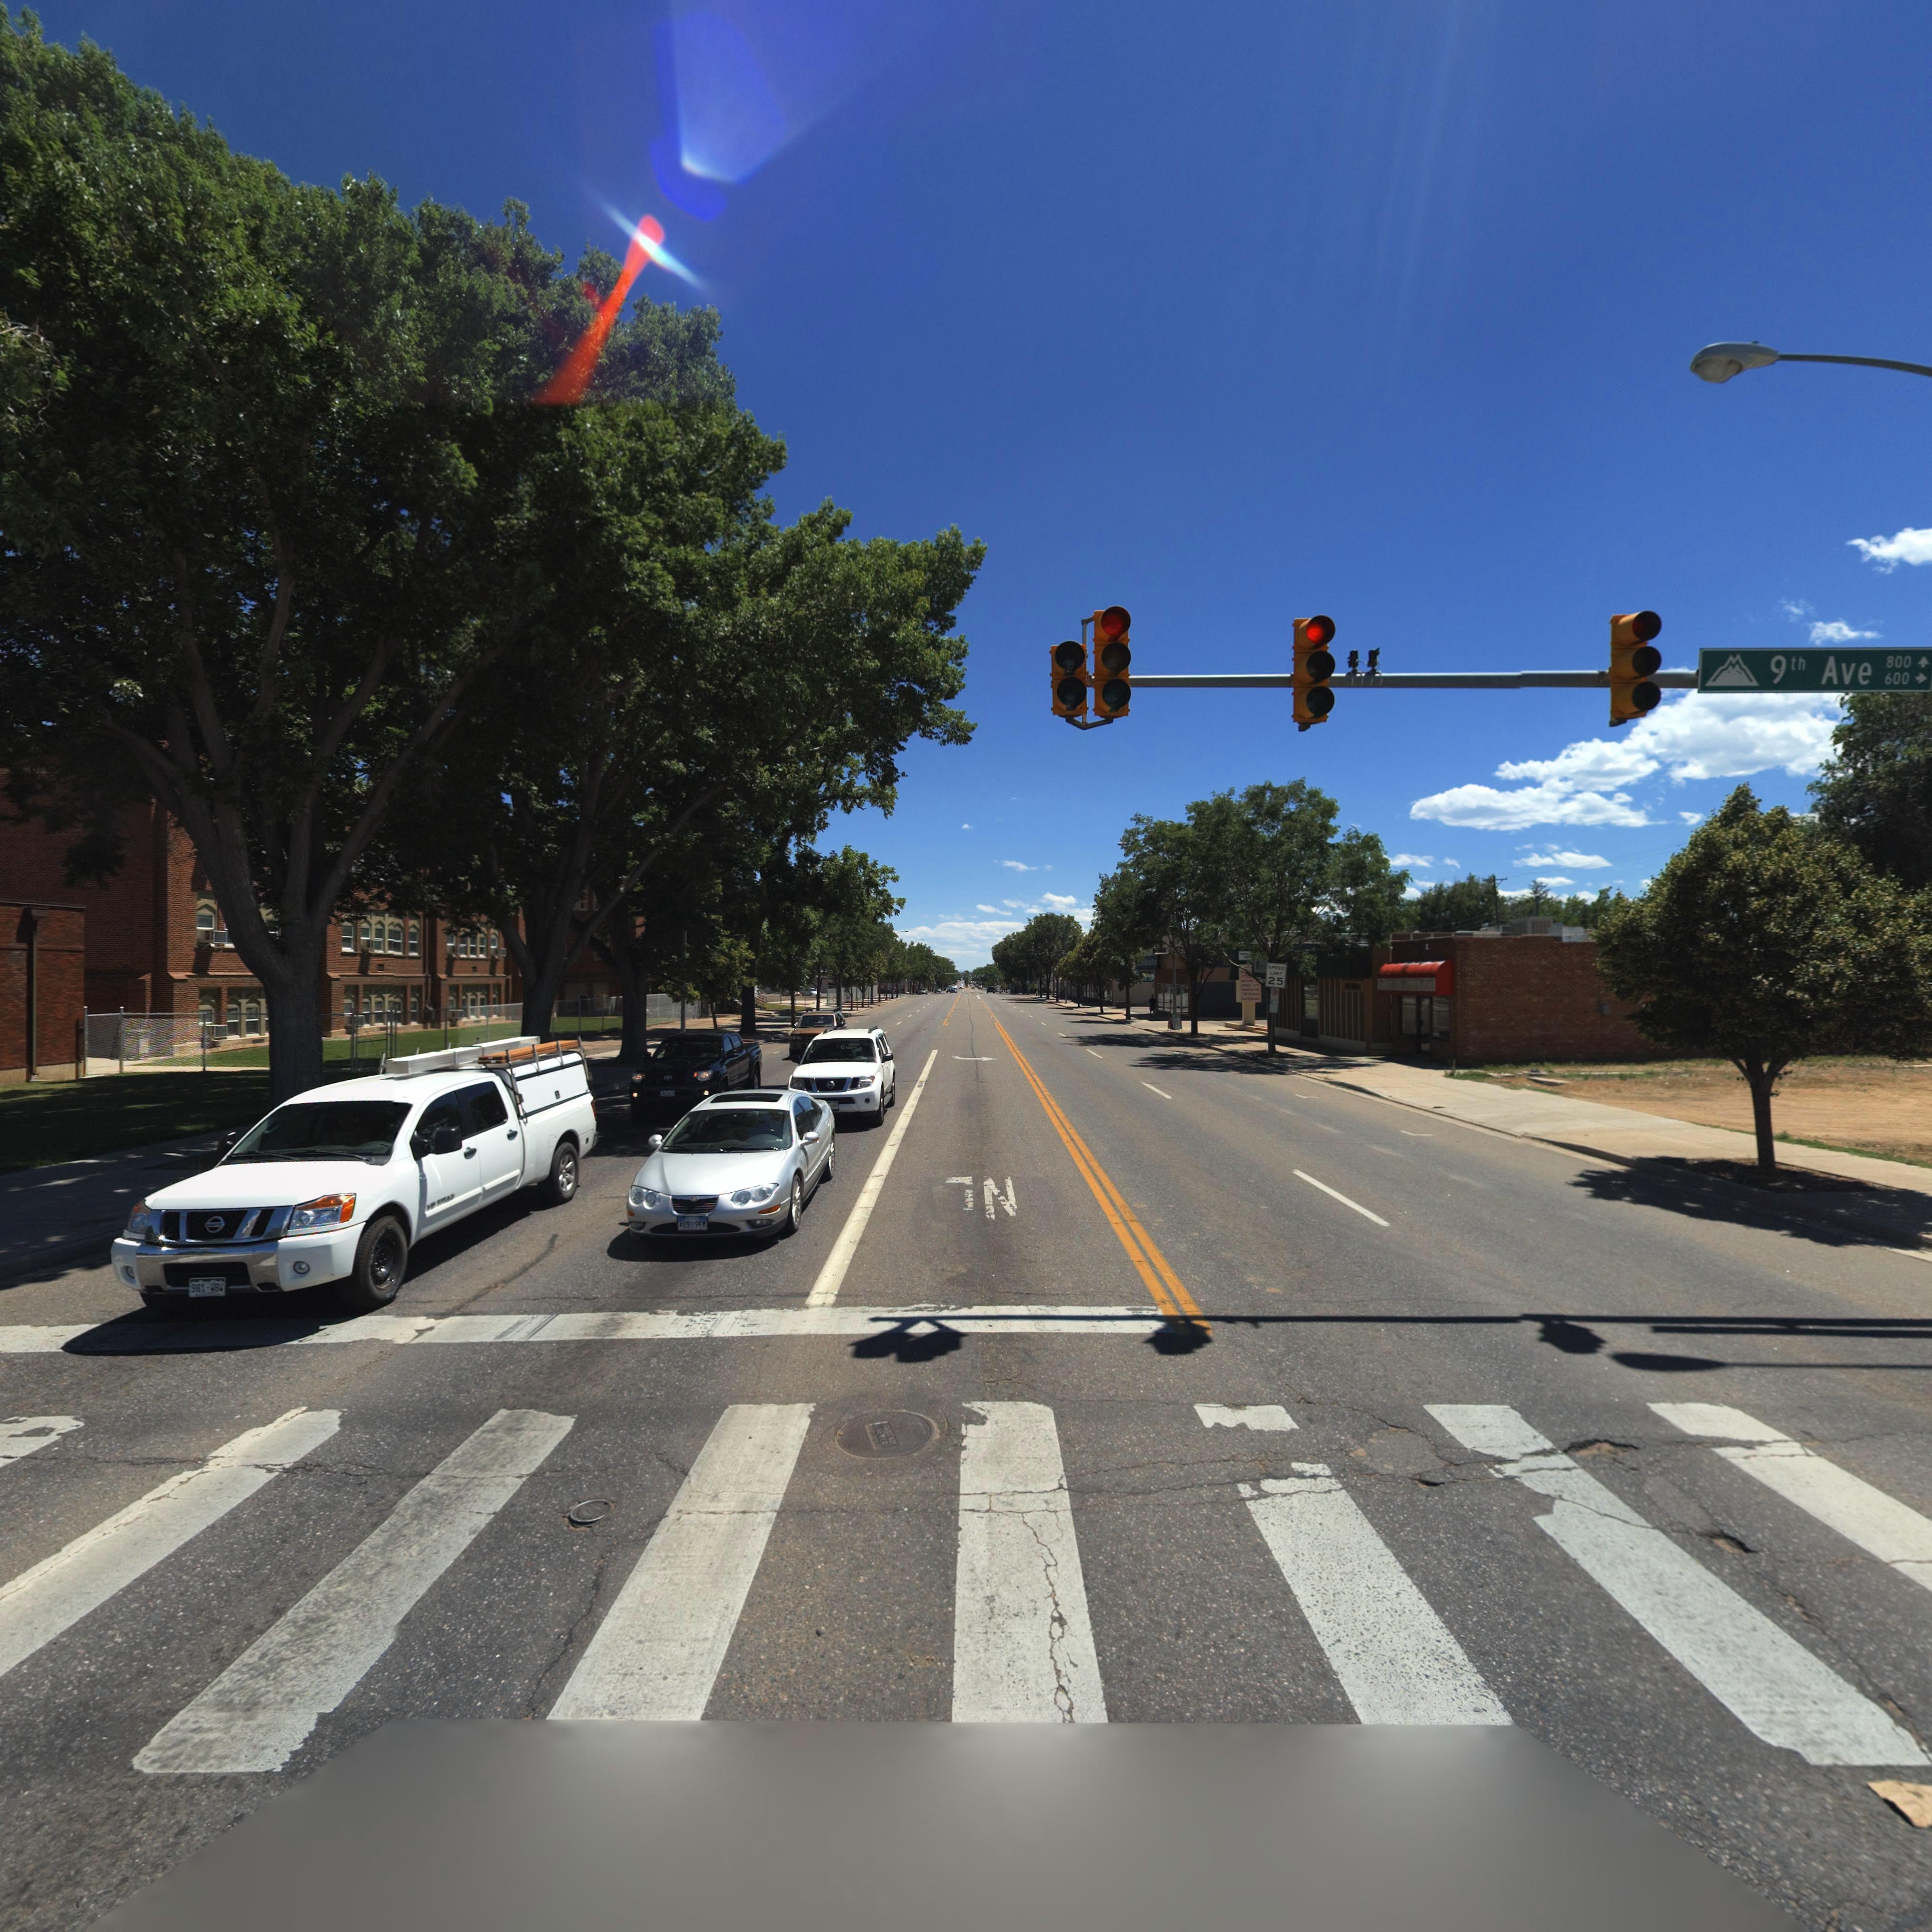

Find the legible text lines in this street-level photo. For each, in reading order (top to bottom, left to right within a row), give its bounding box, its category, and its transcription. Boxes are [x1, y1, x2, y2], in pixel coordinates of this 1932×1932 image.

[1885, 655, 1912, 669] StreetNumberRange: 800
[1769, 654, 1873, 686] StreetName: 9th Ave
[1883, 671, 1928, 686] StreetNumberRange: 600 ->